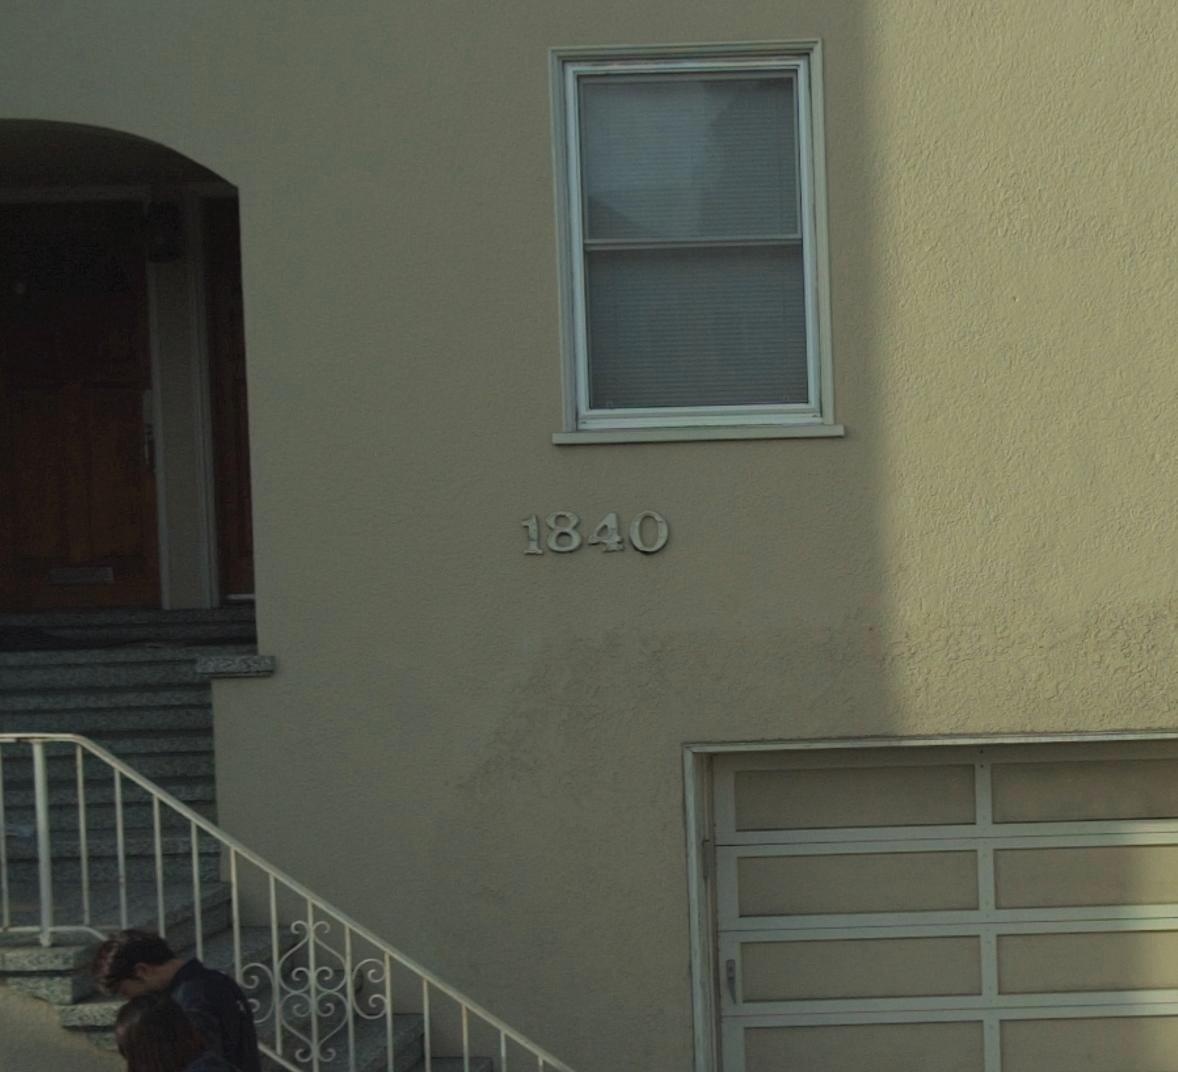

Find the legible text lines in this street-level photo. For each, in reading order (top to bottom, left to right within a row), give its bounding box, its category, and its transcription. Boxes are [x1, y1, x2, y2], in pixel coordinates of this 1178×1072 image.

[517, 507, 672, 558] StreetNumber: 1840